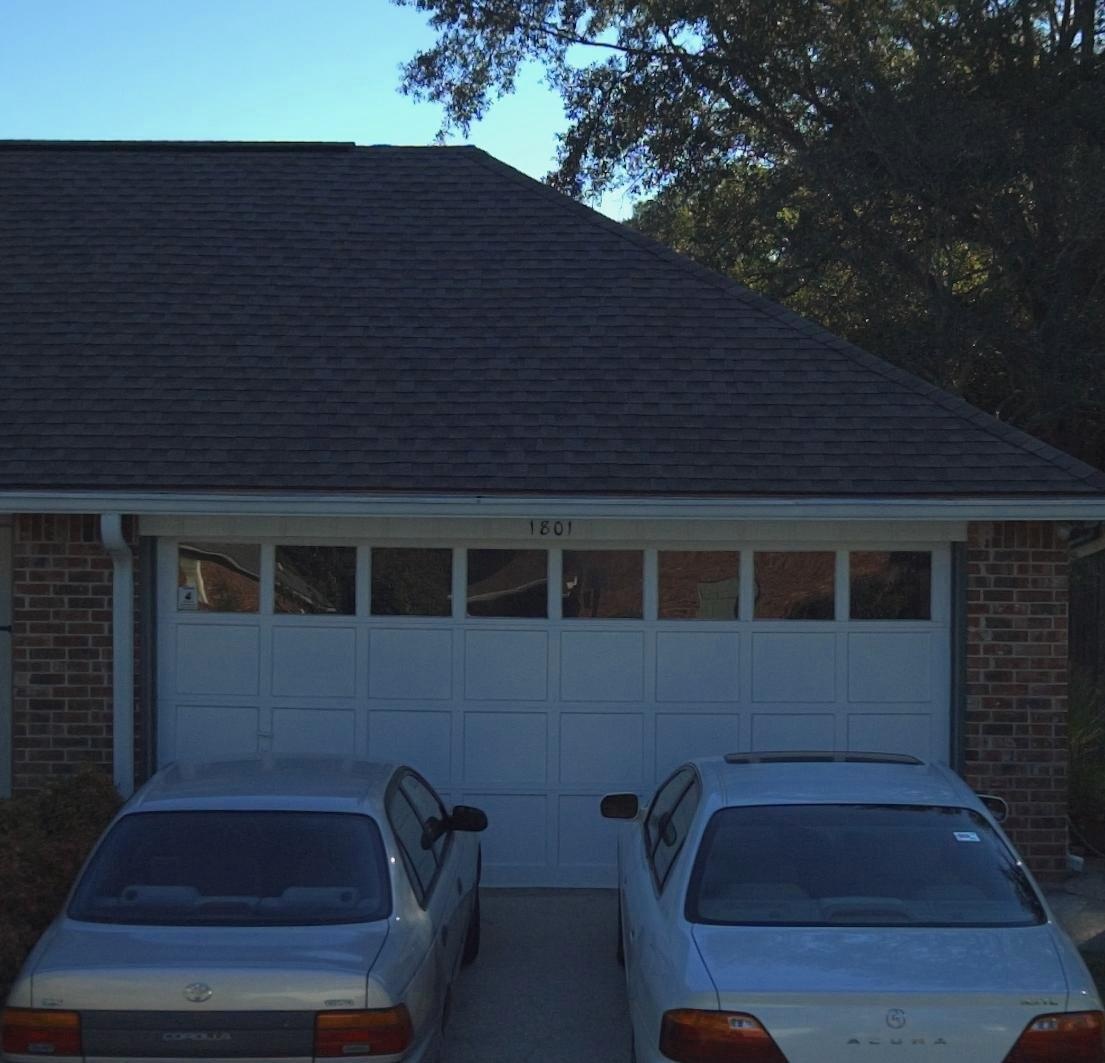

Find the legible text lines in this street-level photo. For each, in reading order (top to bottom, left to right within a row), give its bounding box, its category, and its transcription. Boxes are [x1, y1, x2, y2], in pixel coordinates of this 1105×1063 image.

[528, 517, 573, 538] StreetNumber: 1801
[158, 1029, 235, 1043] None: COROLLA
[842, 1034, 950, 1048] None: ACURA